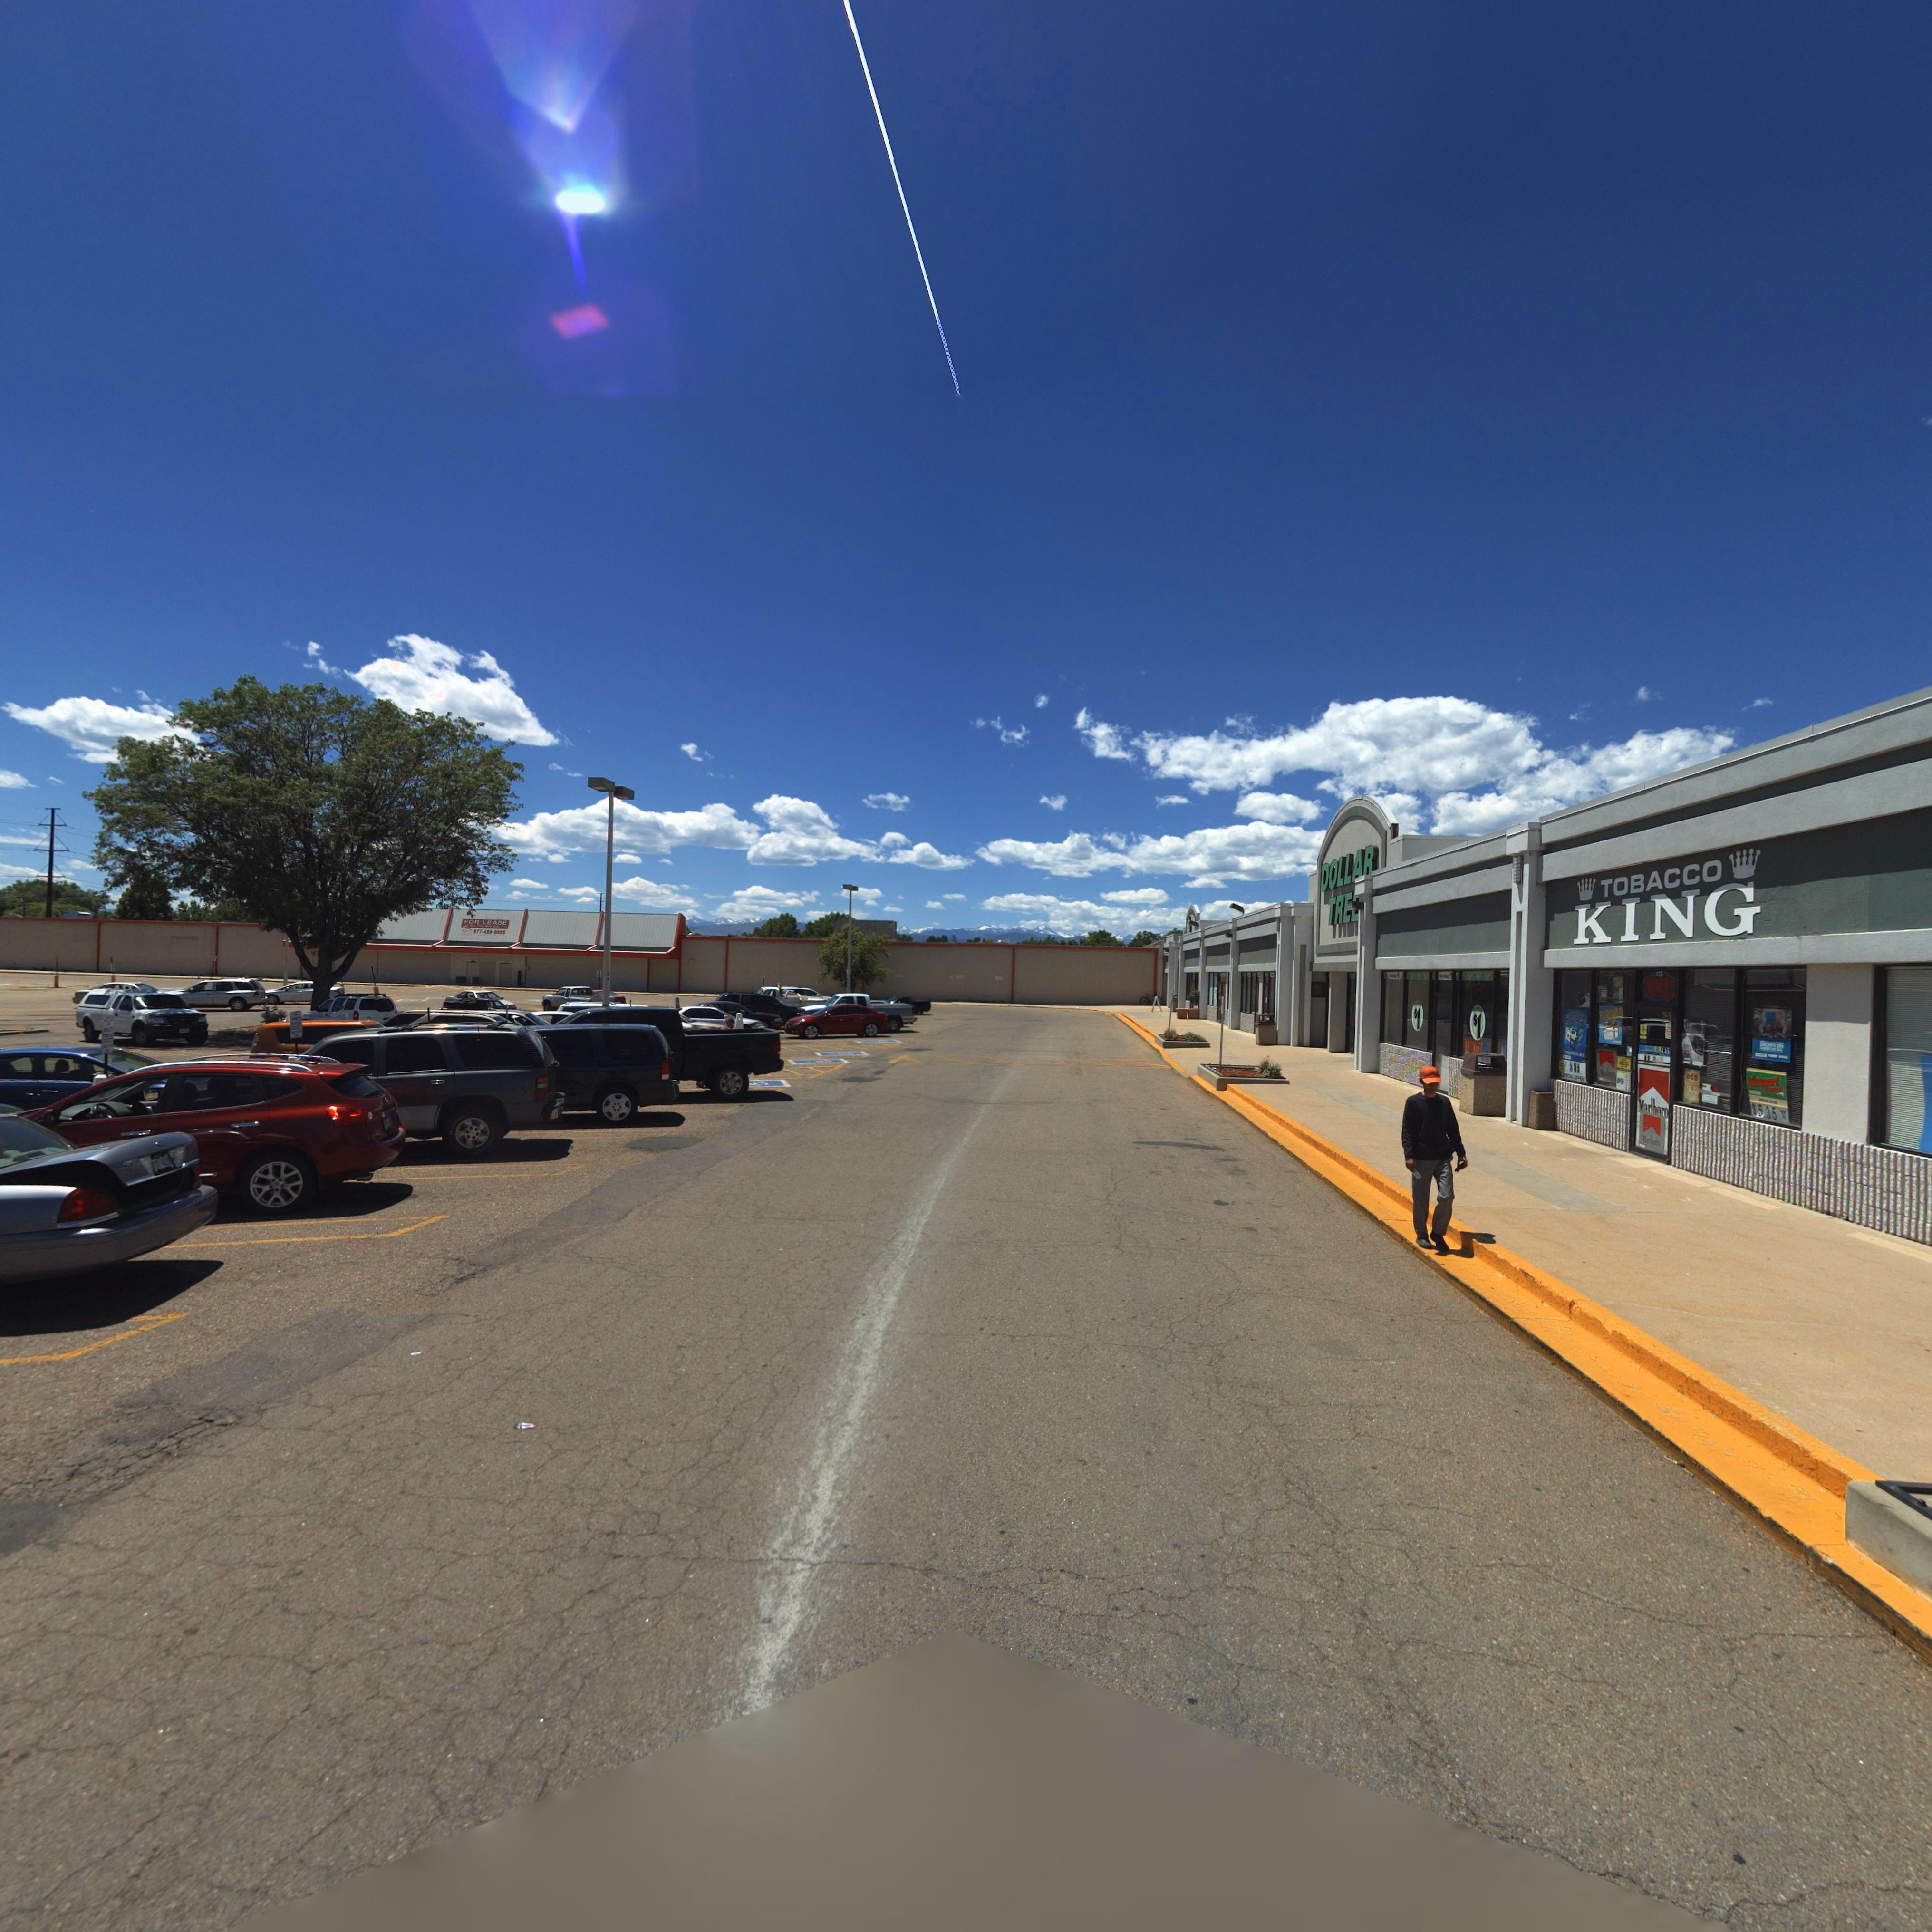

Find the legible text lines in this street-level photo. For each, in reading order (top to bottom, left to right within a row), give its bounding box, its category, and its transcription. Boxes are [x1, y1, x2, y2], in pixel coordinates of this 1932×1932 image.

[1320, 844, 1378, 892] BusinessName: DOLLAR
[1600, 859, 1722, 897] BusinessName: TOBACCO
[1327, 889, 1360, 926] BusinessName: TR**
[1573, 880, 1761, 944] BusinessName: KING
[1655, 970, 1663, 976] StreetNumber: 11*